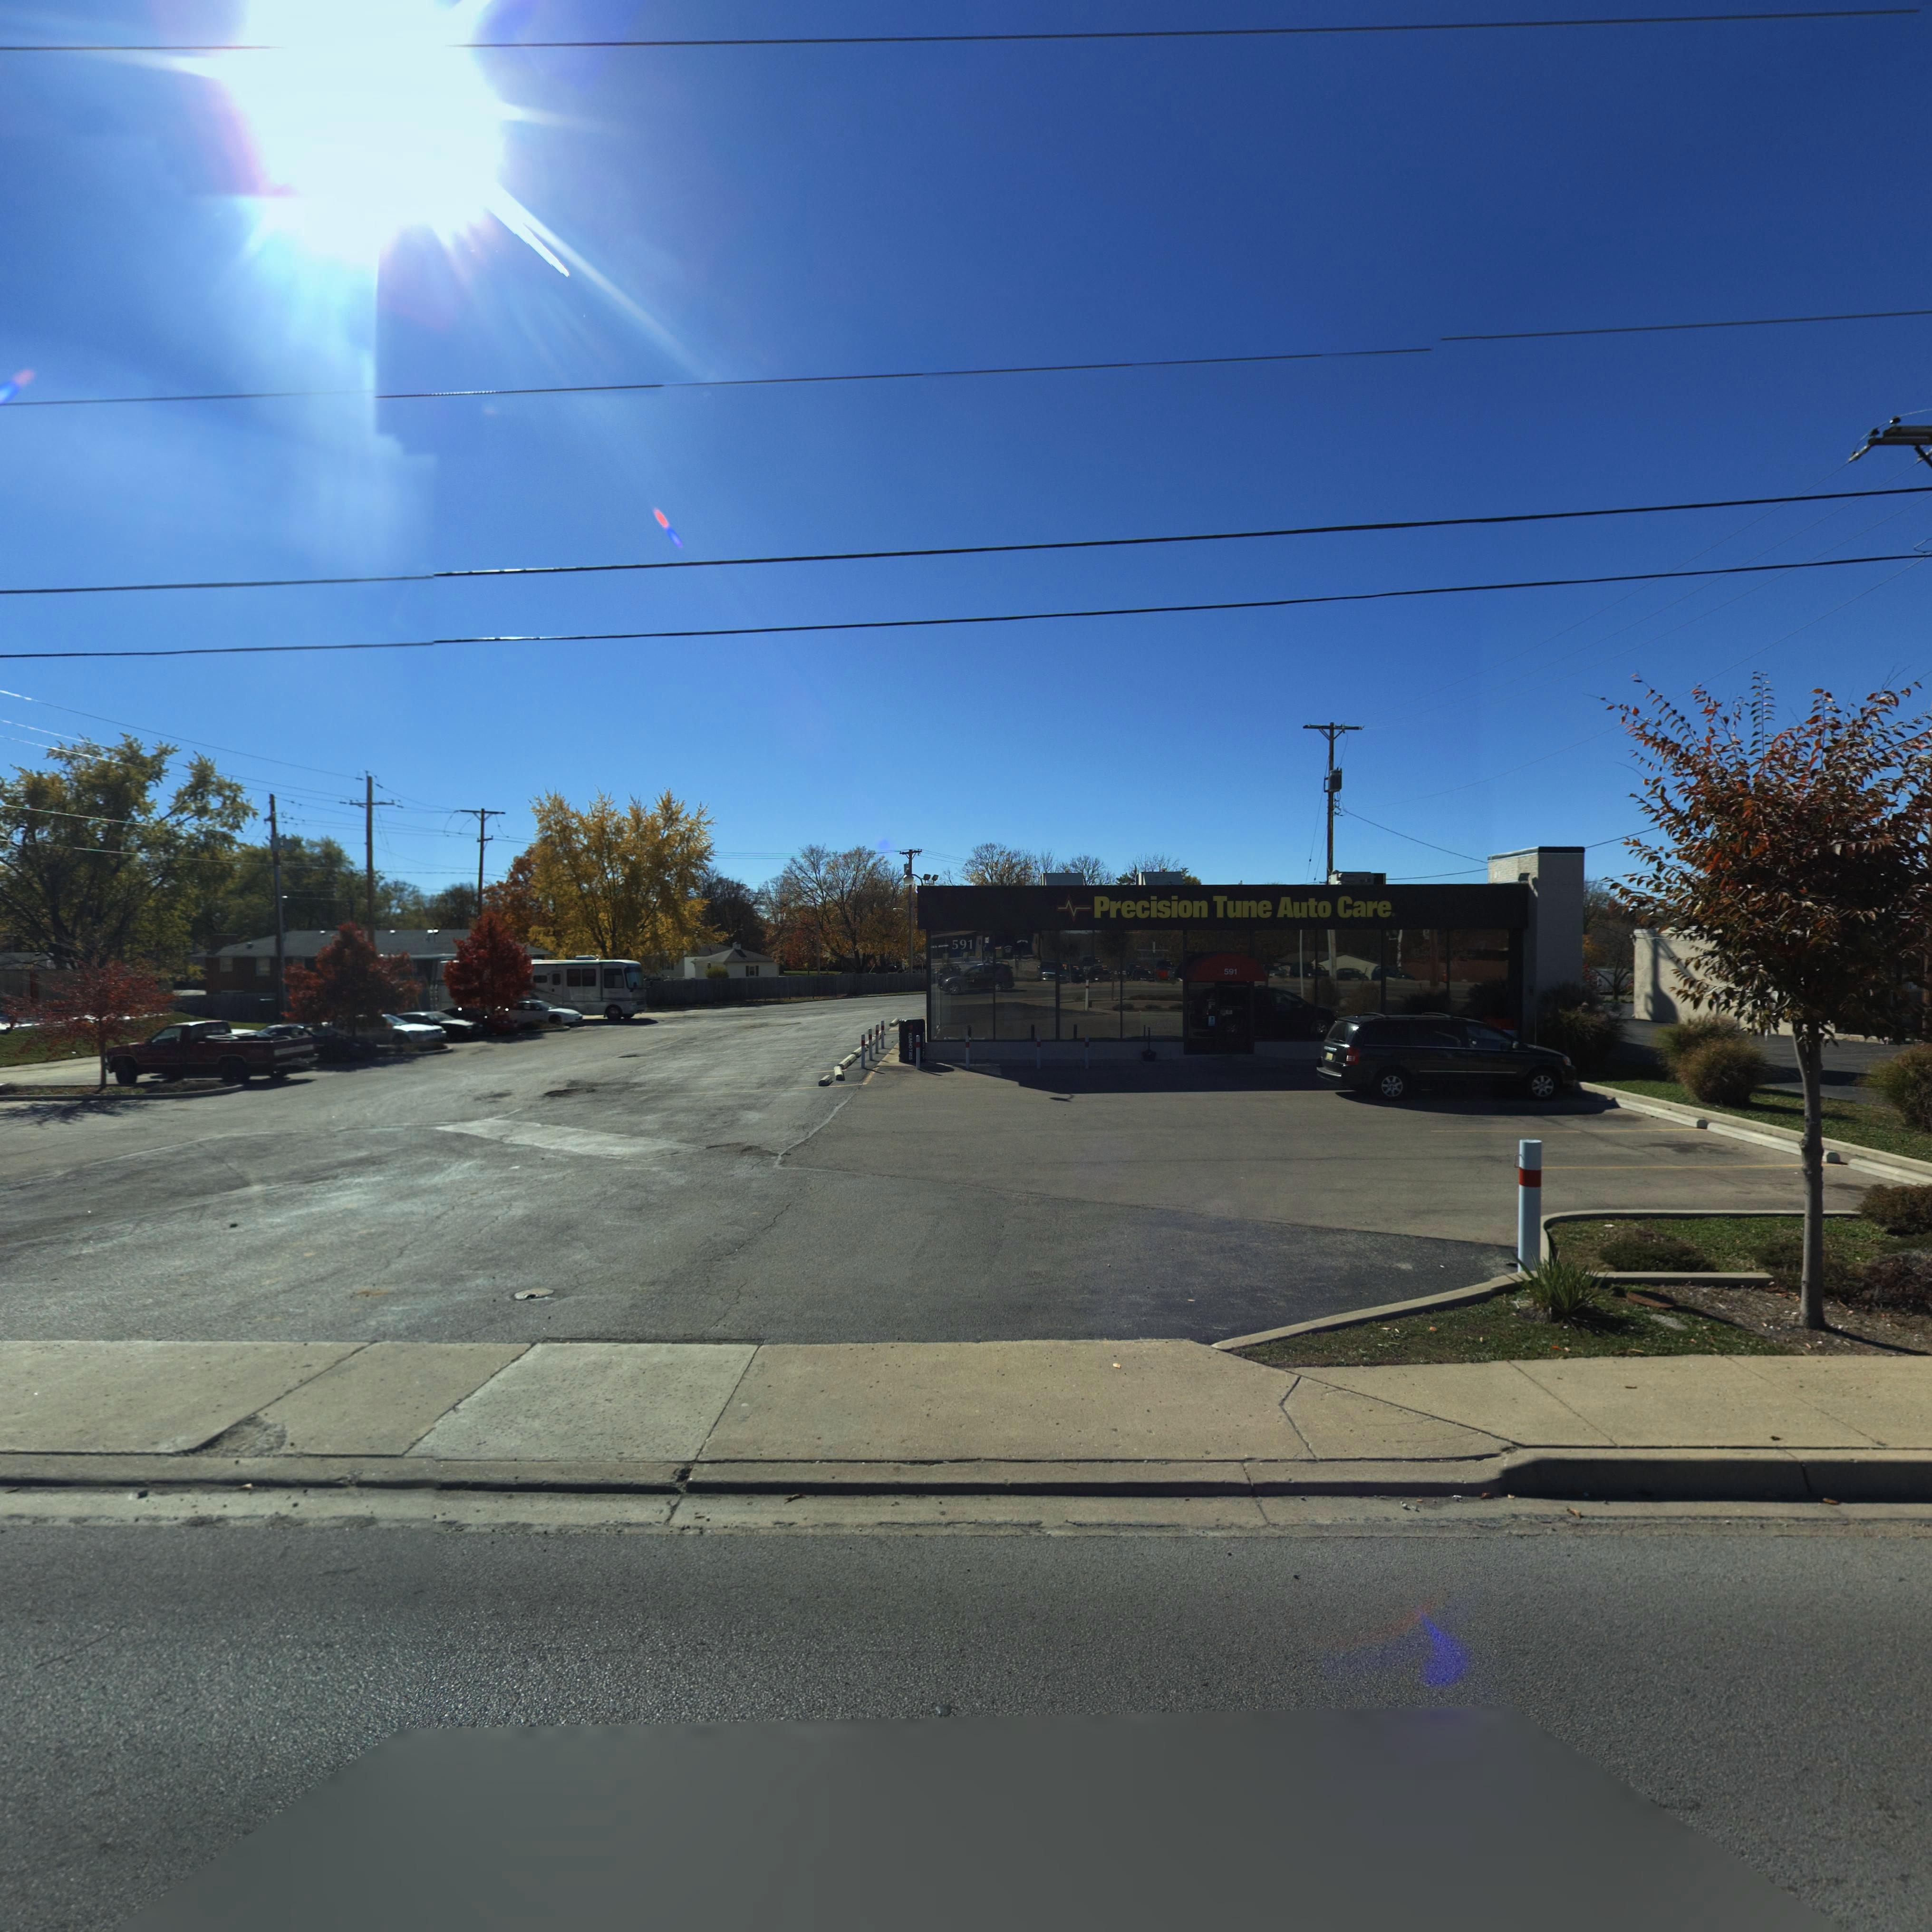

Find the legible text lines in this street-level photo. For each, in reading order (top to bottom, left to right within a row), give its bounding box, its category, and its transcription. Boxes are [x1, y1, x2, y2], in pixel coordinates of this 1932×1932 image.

[1093, 895, 1393, 919] BusinessName: Precision Tune Auto Care
[951, 938, 973, 951] StreetNumber: 591
[1223, 967, 1238, 976] StreetNumber: 591